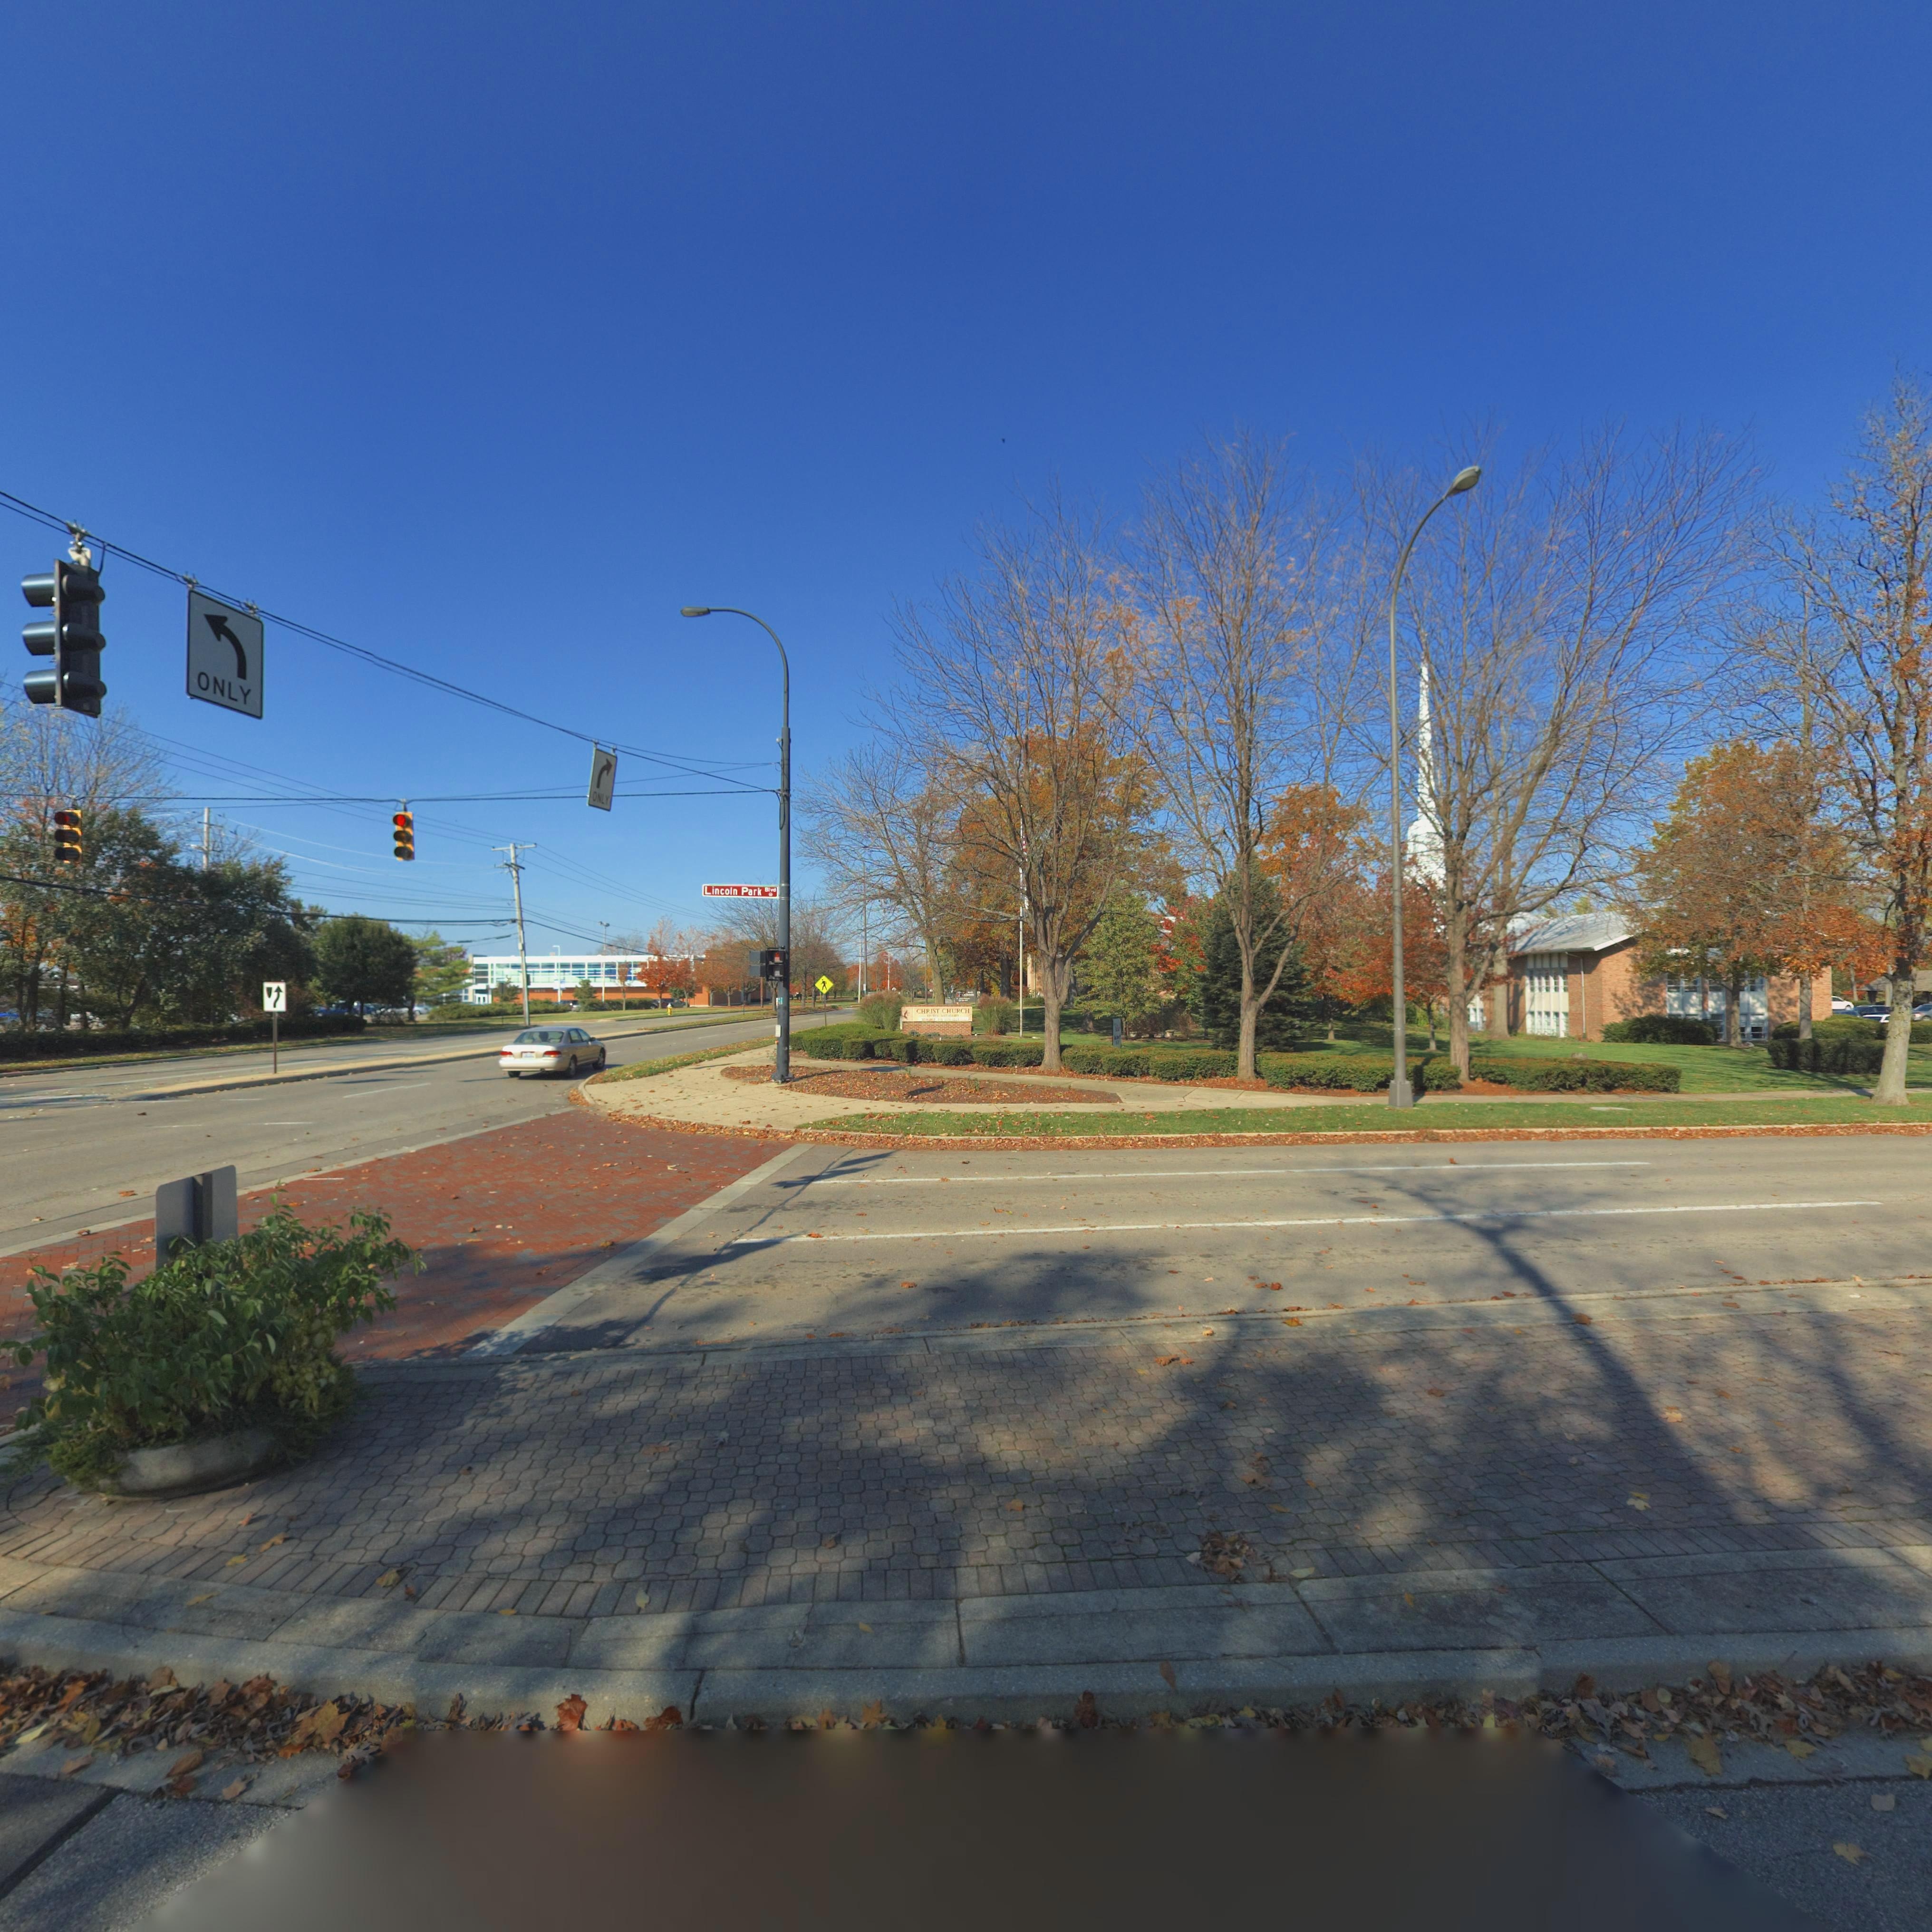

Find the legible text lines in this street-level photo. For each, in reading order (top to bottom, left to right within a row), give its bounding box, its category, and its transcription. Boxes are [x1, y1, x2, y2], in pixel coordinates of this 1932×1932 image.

[195, 668, 253, 706] None: ONLY
[591, 790, 612, 806] None: ONLY
[704, 885, 777, 896] StreetName: Lincoln Park Blvd
[916, 1008, 970, 1014] BusinessName: CHRIST CHURCH